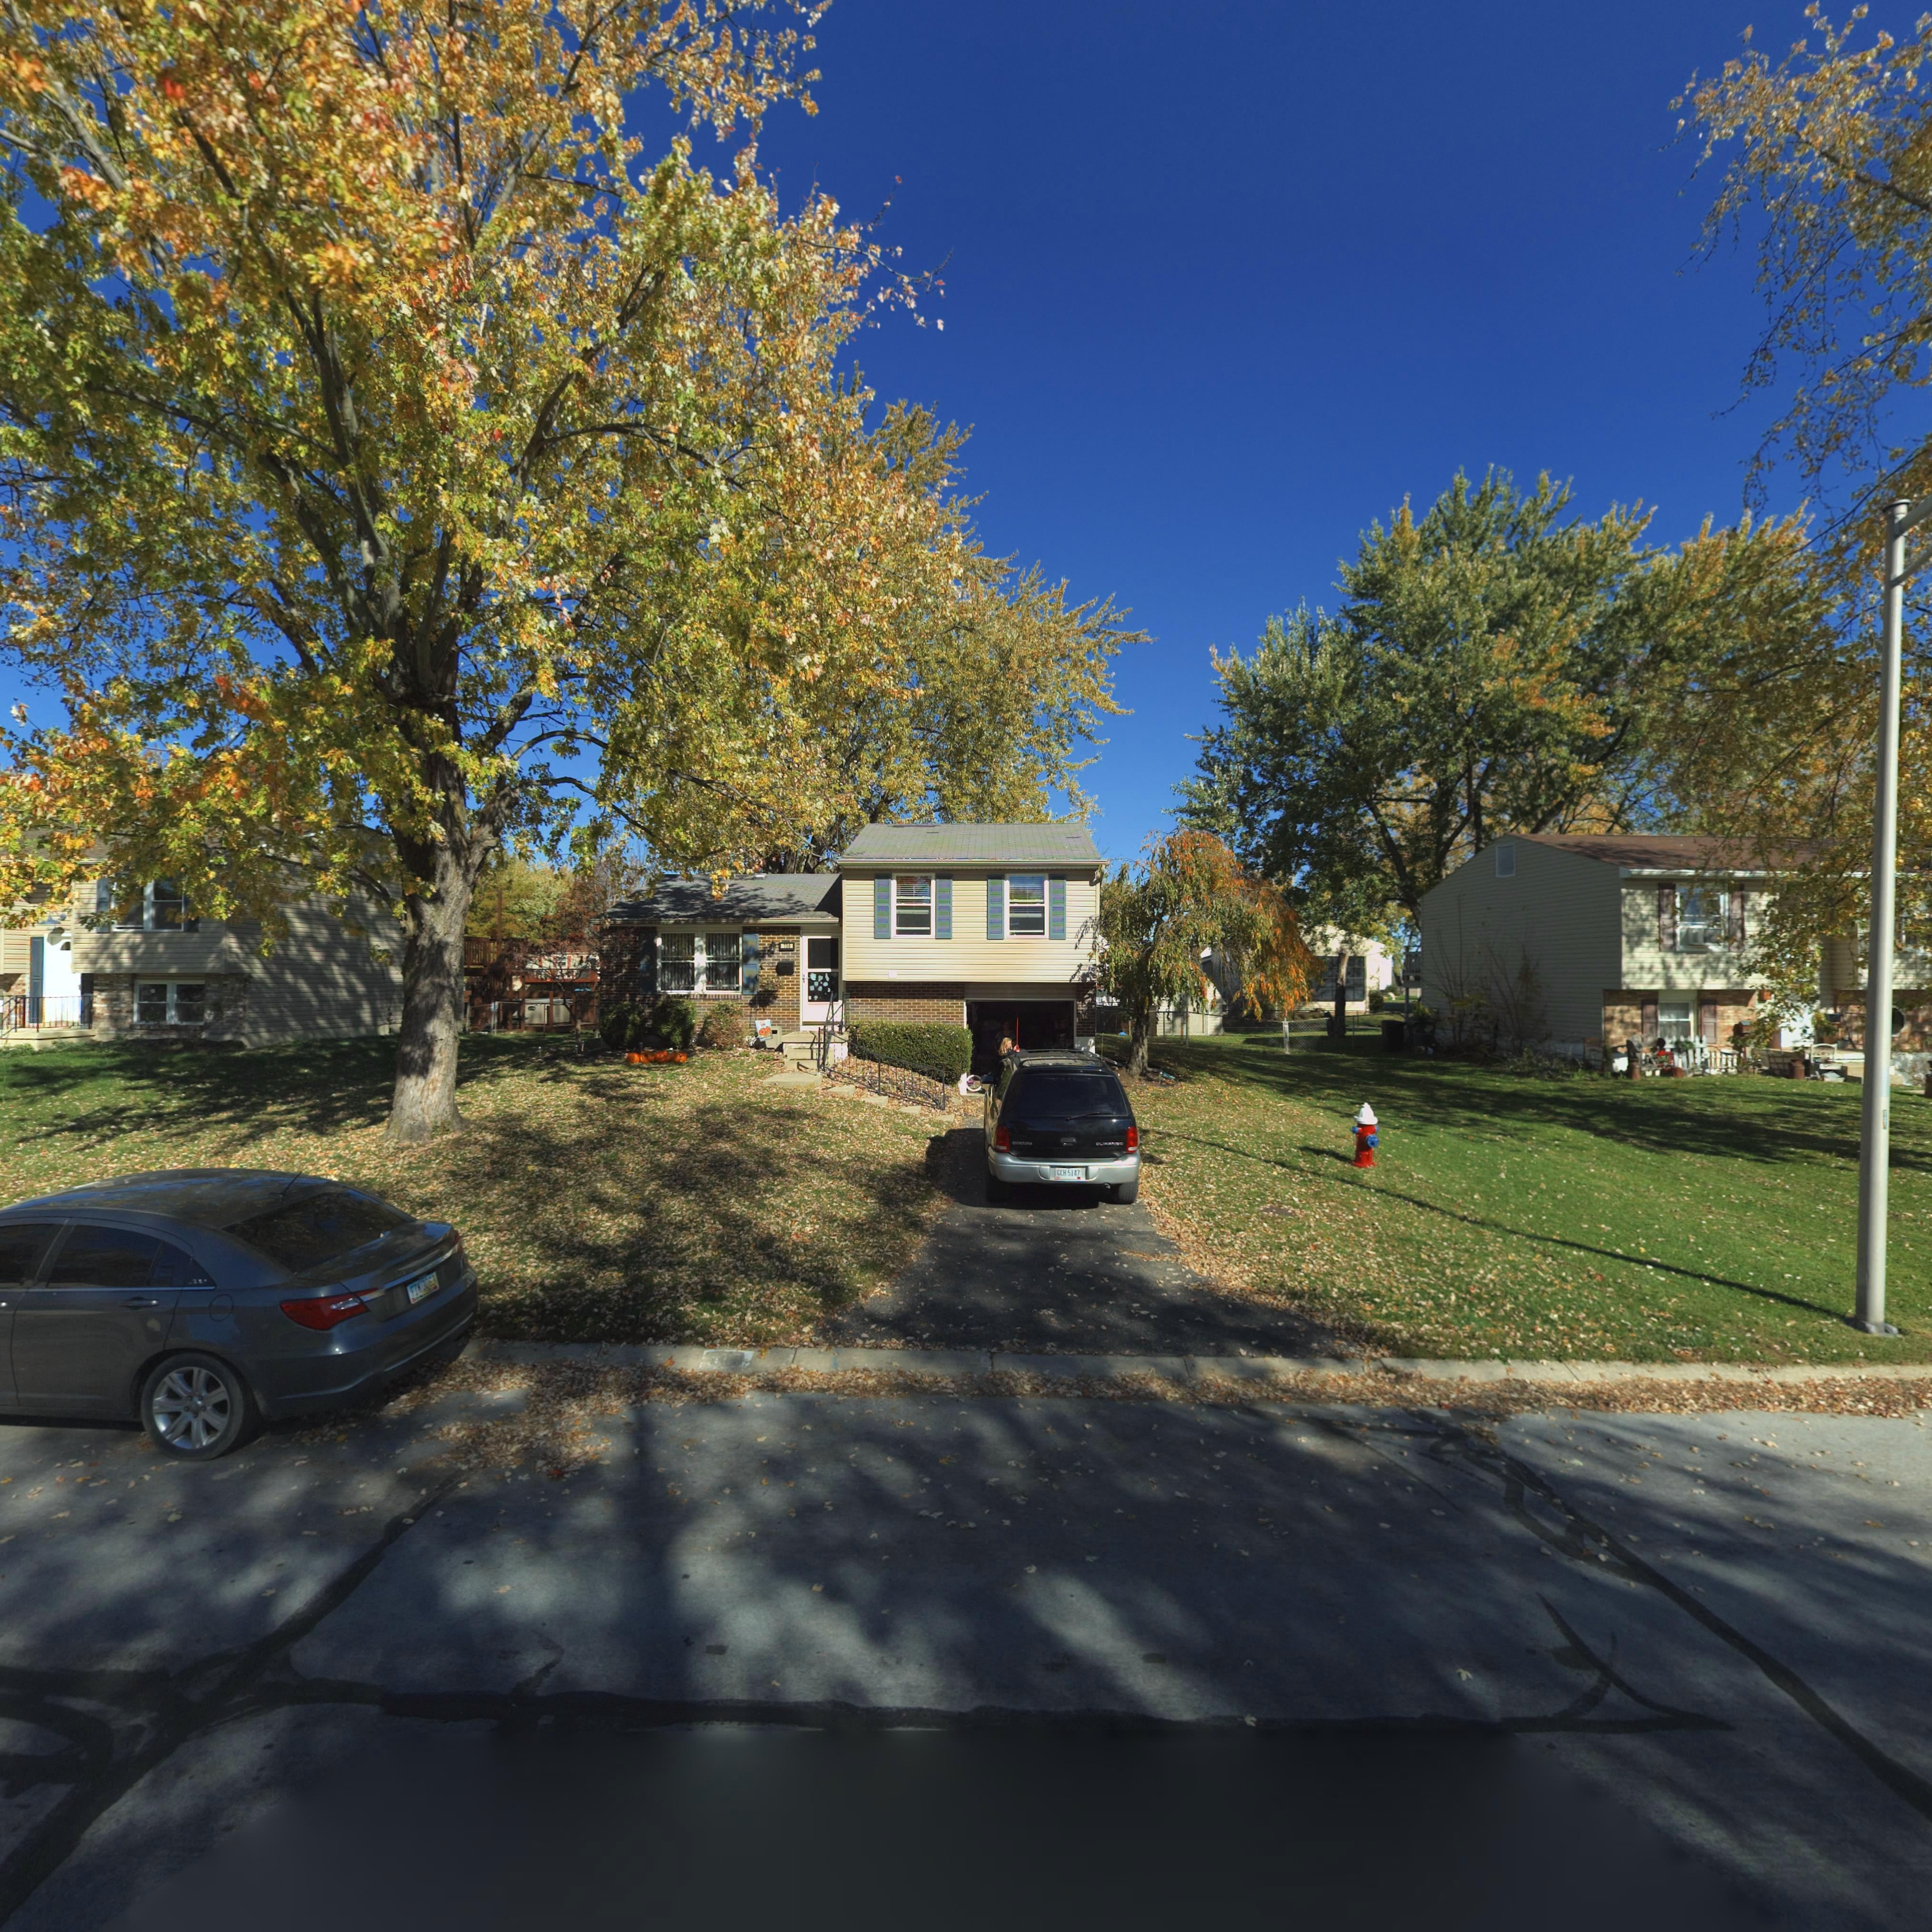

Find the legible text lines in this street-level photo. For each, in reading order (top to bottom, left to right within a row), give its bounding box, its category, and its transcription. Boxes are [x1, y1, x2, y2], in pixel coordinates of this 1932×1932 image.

[783, 943, 792, 948] StreetNumber: 706
[1055, 1168, 1082, 1177] None: GCH 5147
[408, 1273, 438, 1299] None: FIK 3063